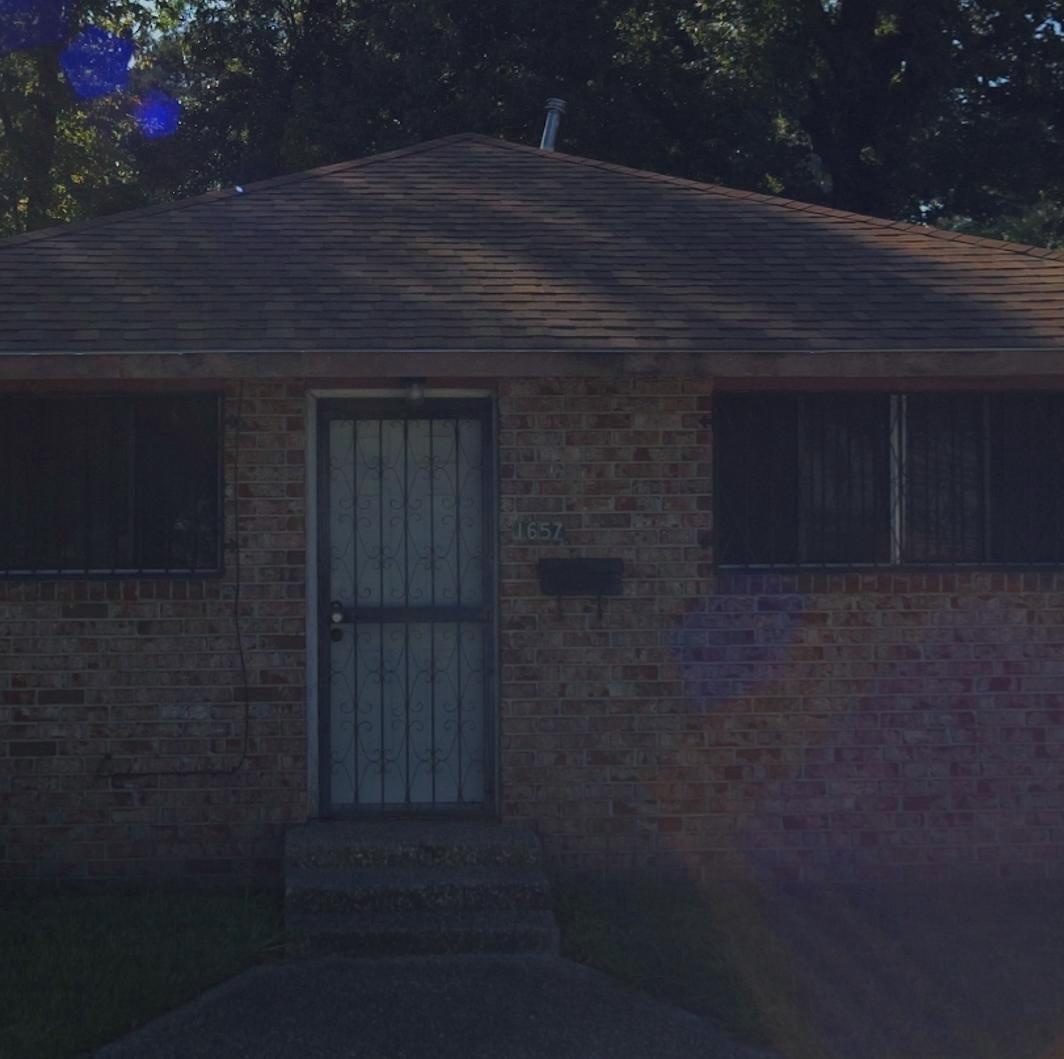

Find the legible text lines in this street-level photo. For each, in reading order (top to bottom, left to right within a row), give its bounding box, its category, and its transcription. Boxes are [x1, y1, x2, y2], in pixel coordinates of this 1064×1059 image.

[516, 520, 564, 540] StreetNumber: 1657